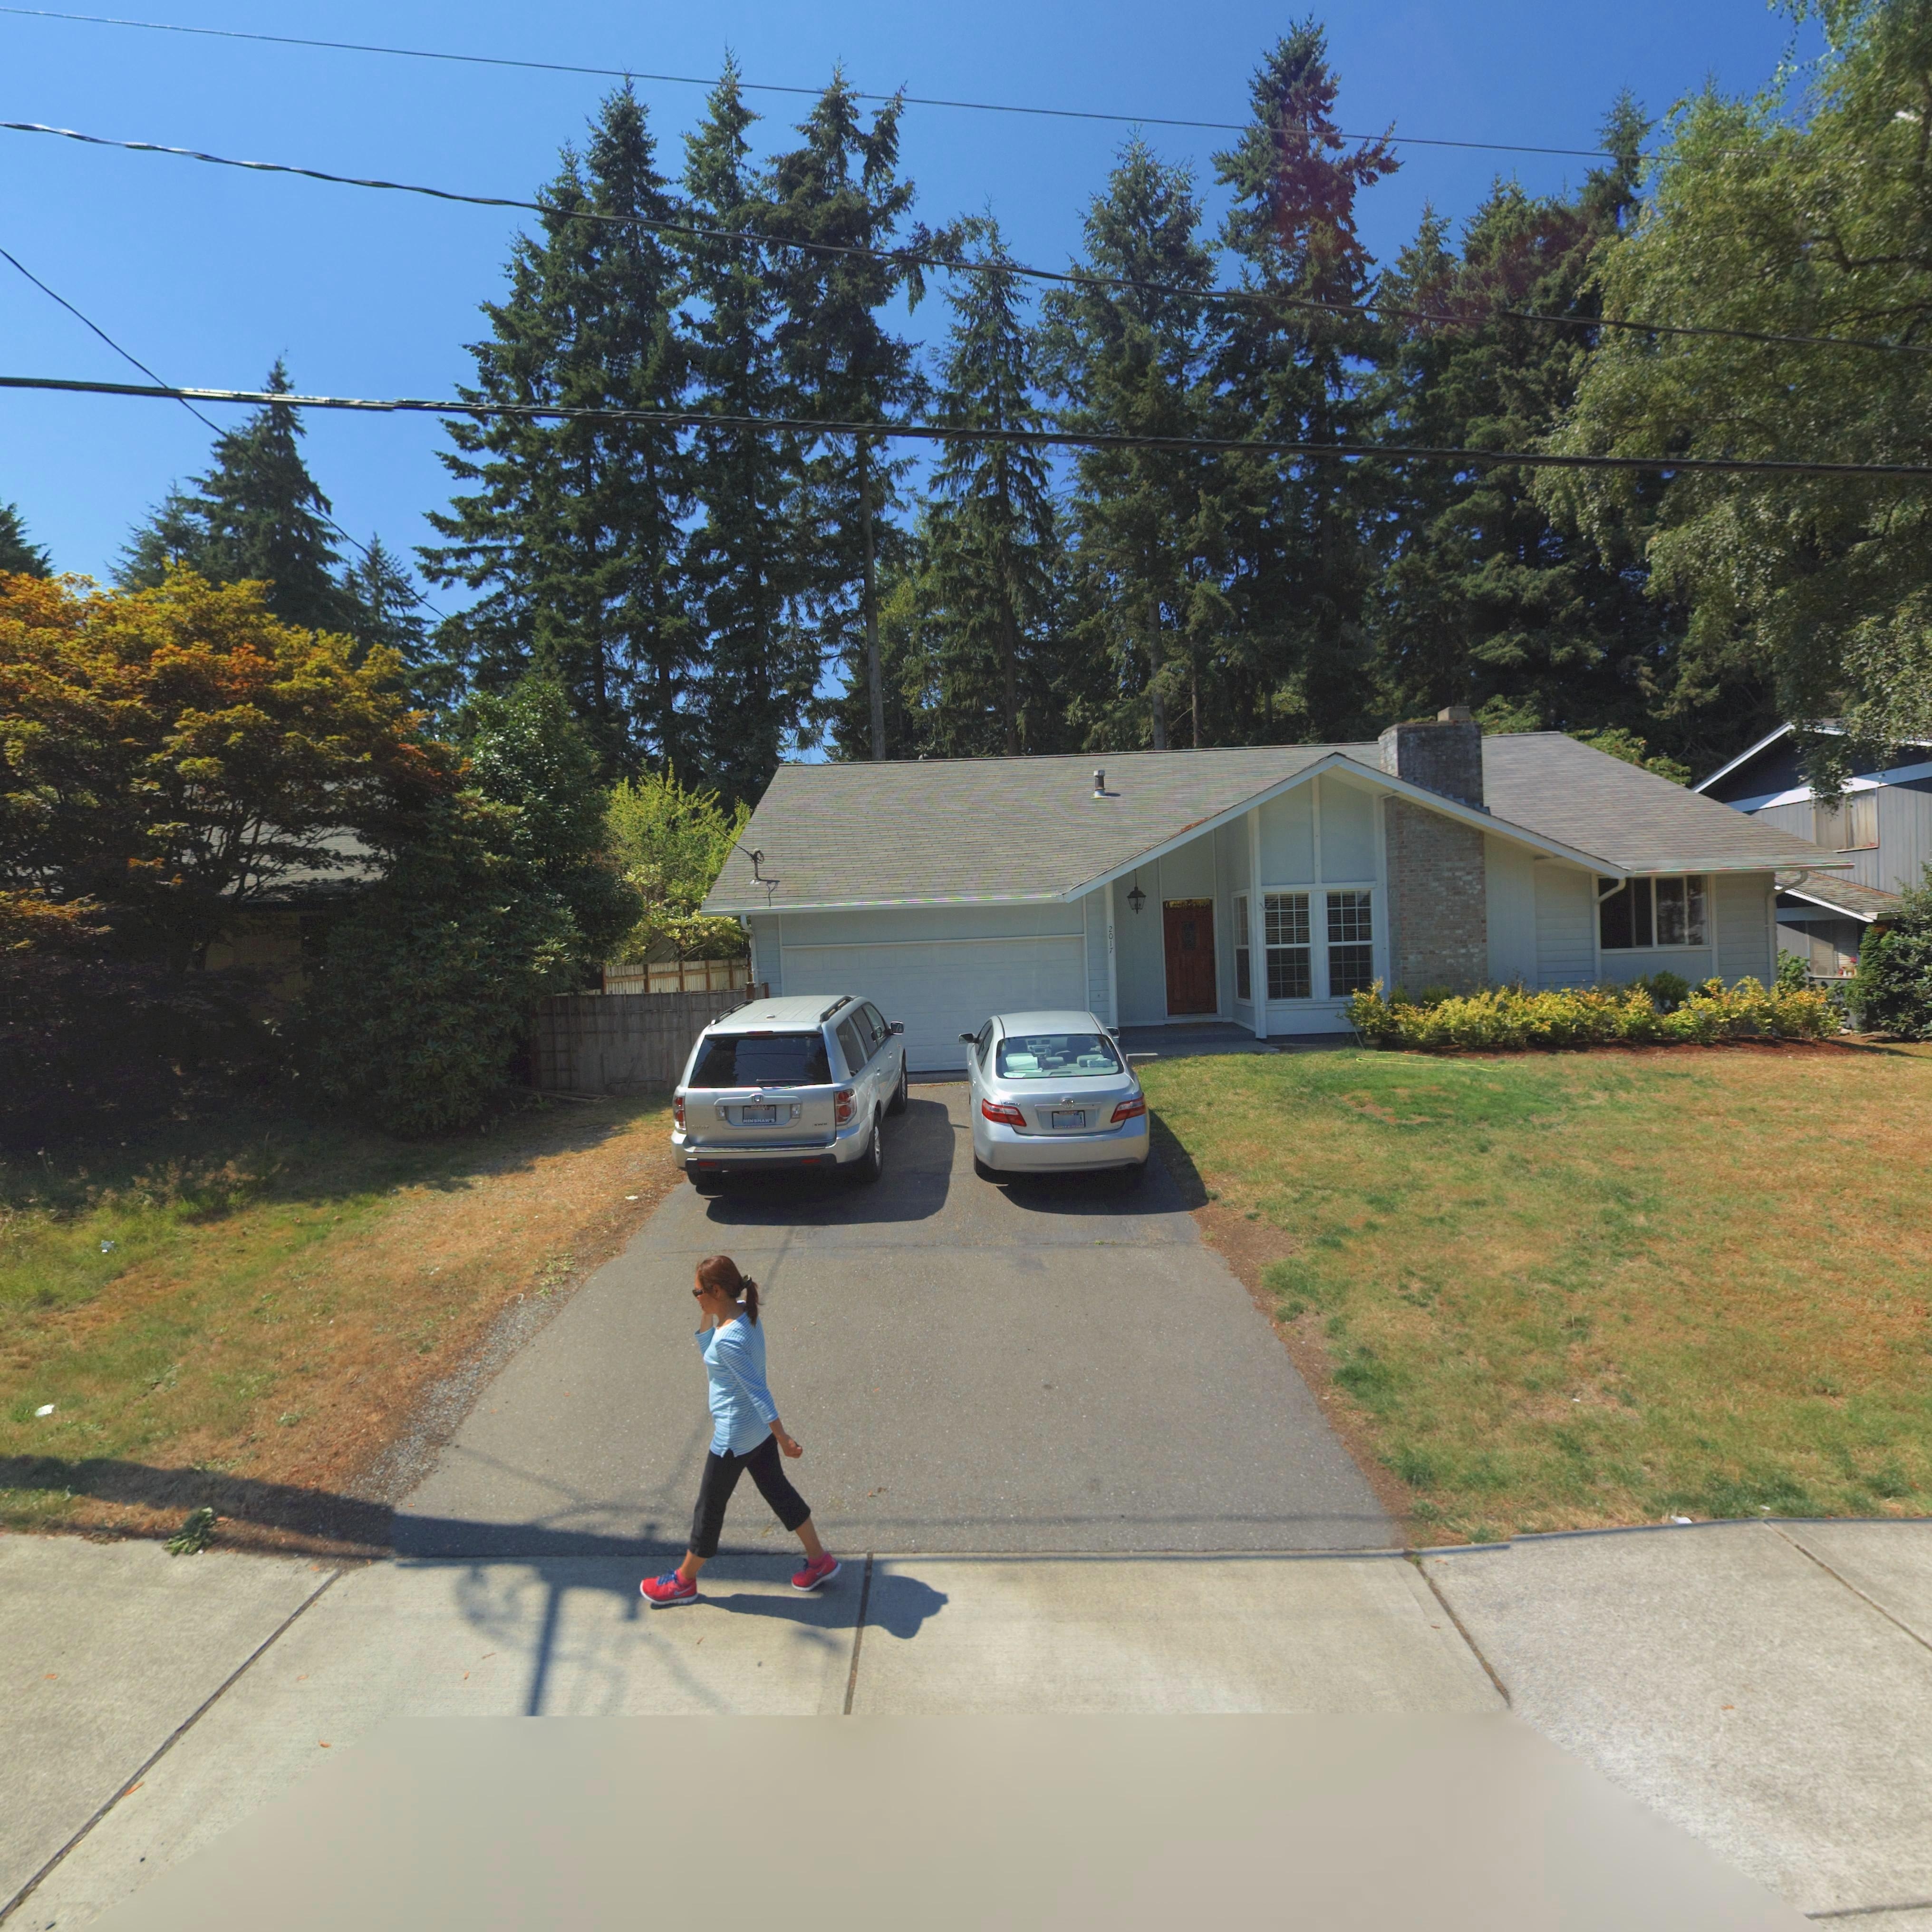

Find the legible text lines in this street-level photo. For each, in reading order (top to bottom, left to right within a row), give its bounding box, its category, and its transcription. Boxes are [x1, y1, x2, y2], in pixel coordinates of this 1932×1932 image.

[1108, 924, 1113, 954] StreetNumber: 2017